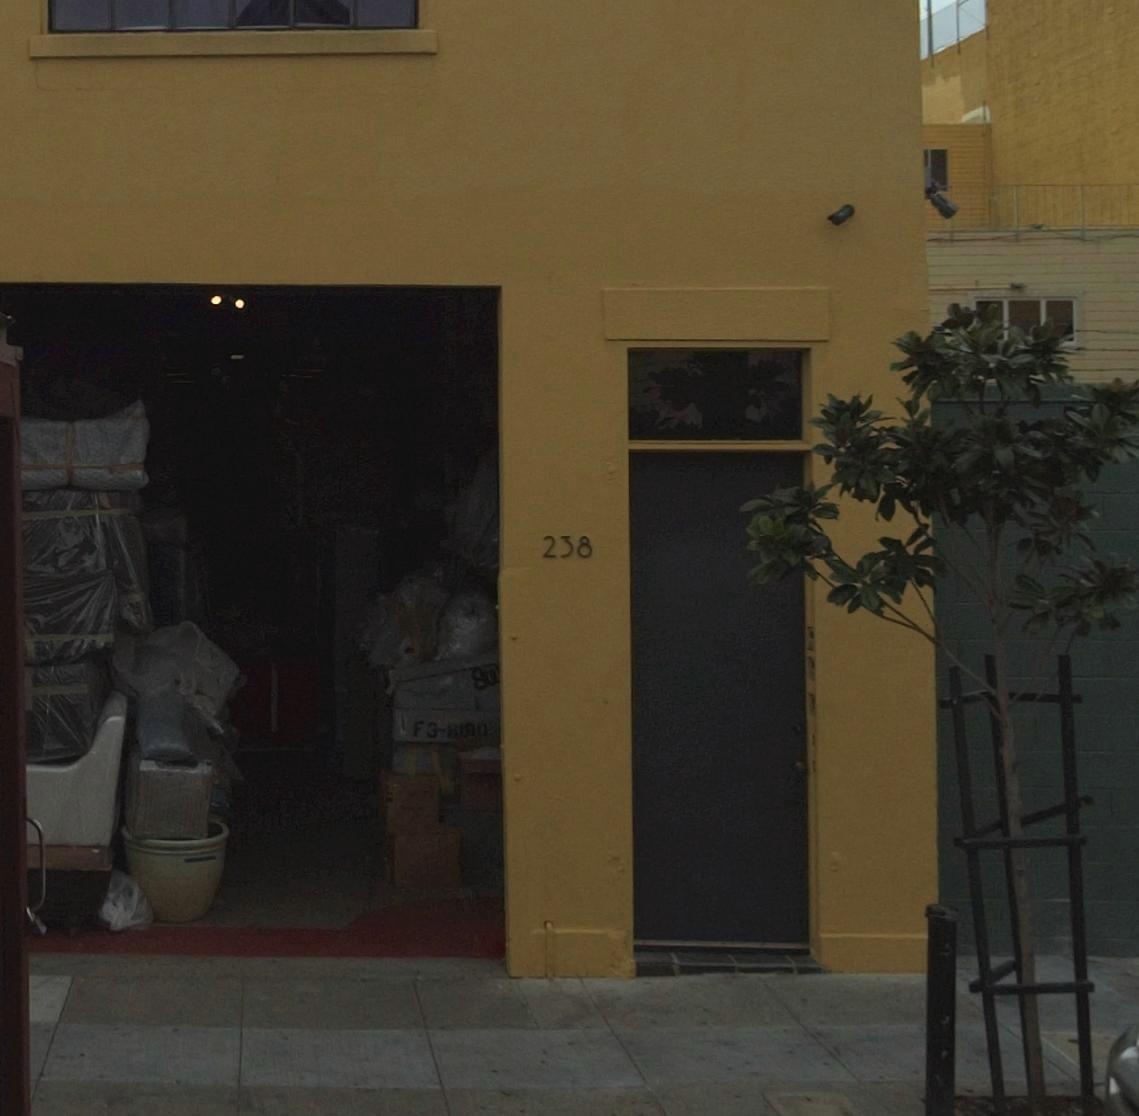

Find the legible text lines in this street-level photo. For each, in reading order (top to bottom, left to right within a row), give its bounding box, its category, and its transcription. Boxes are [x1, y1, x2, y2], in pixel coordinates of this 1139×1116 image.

[541, 535, 593, 560] StreetNumber: 238
[412, 719, 438, 739] None: F3